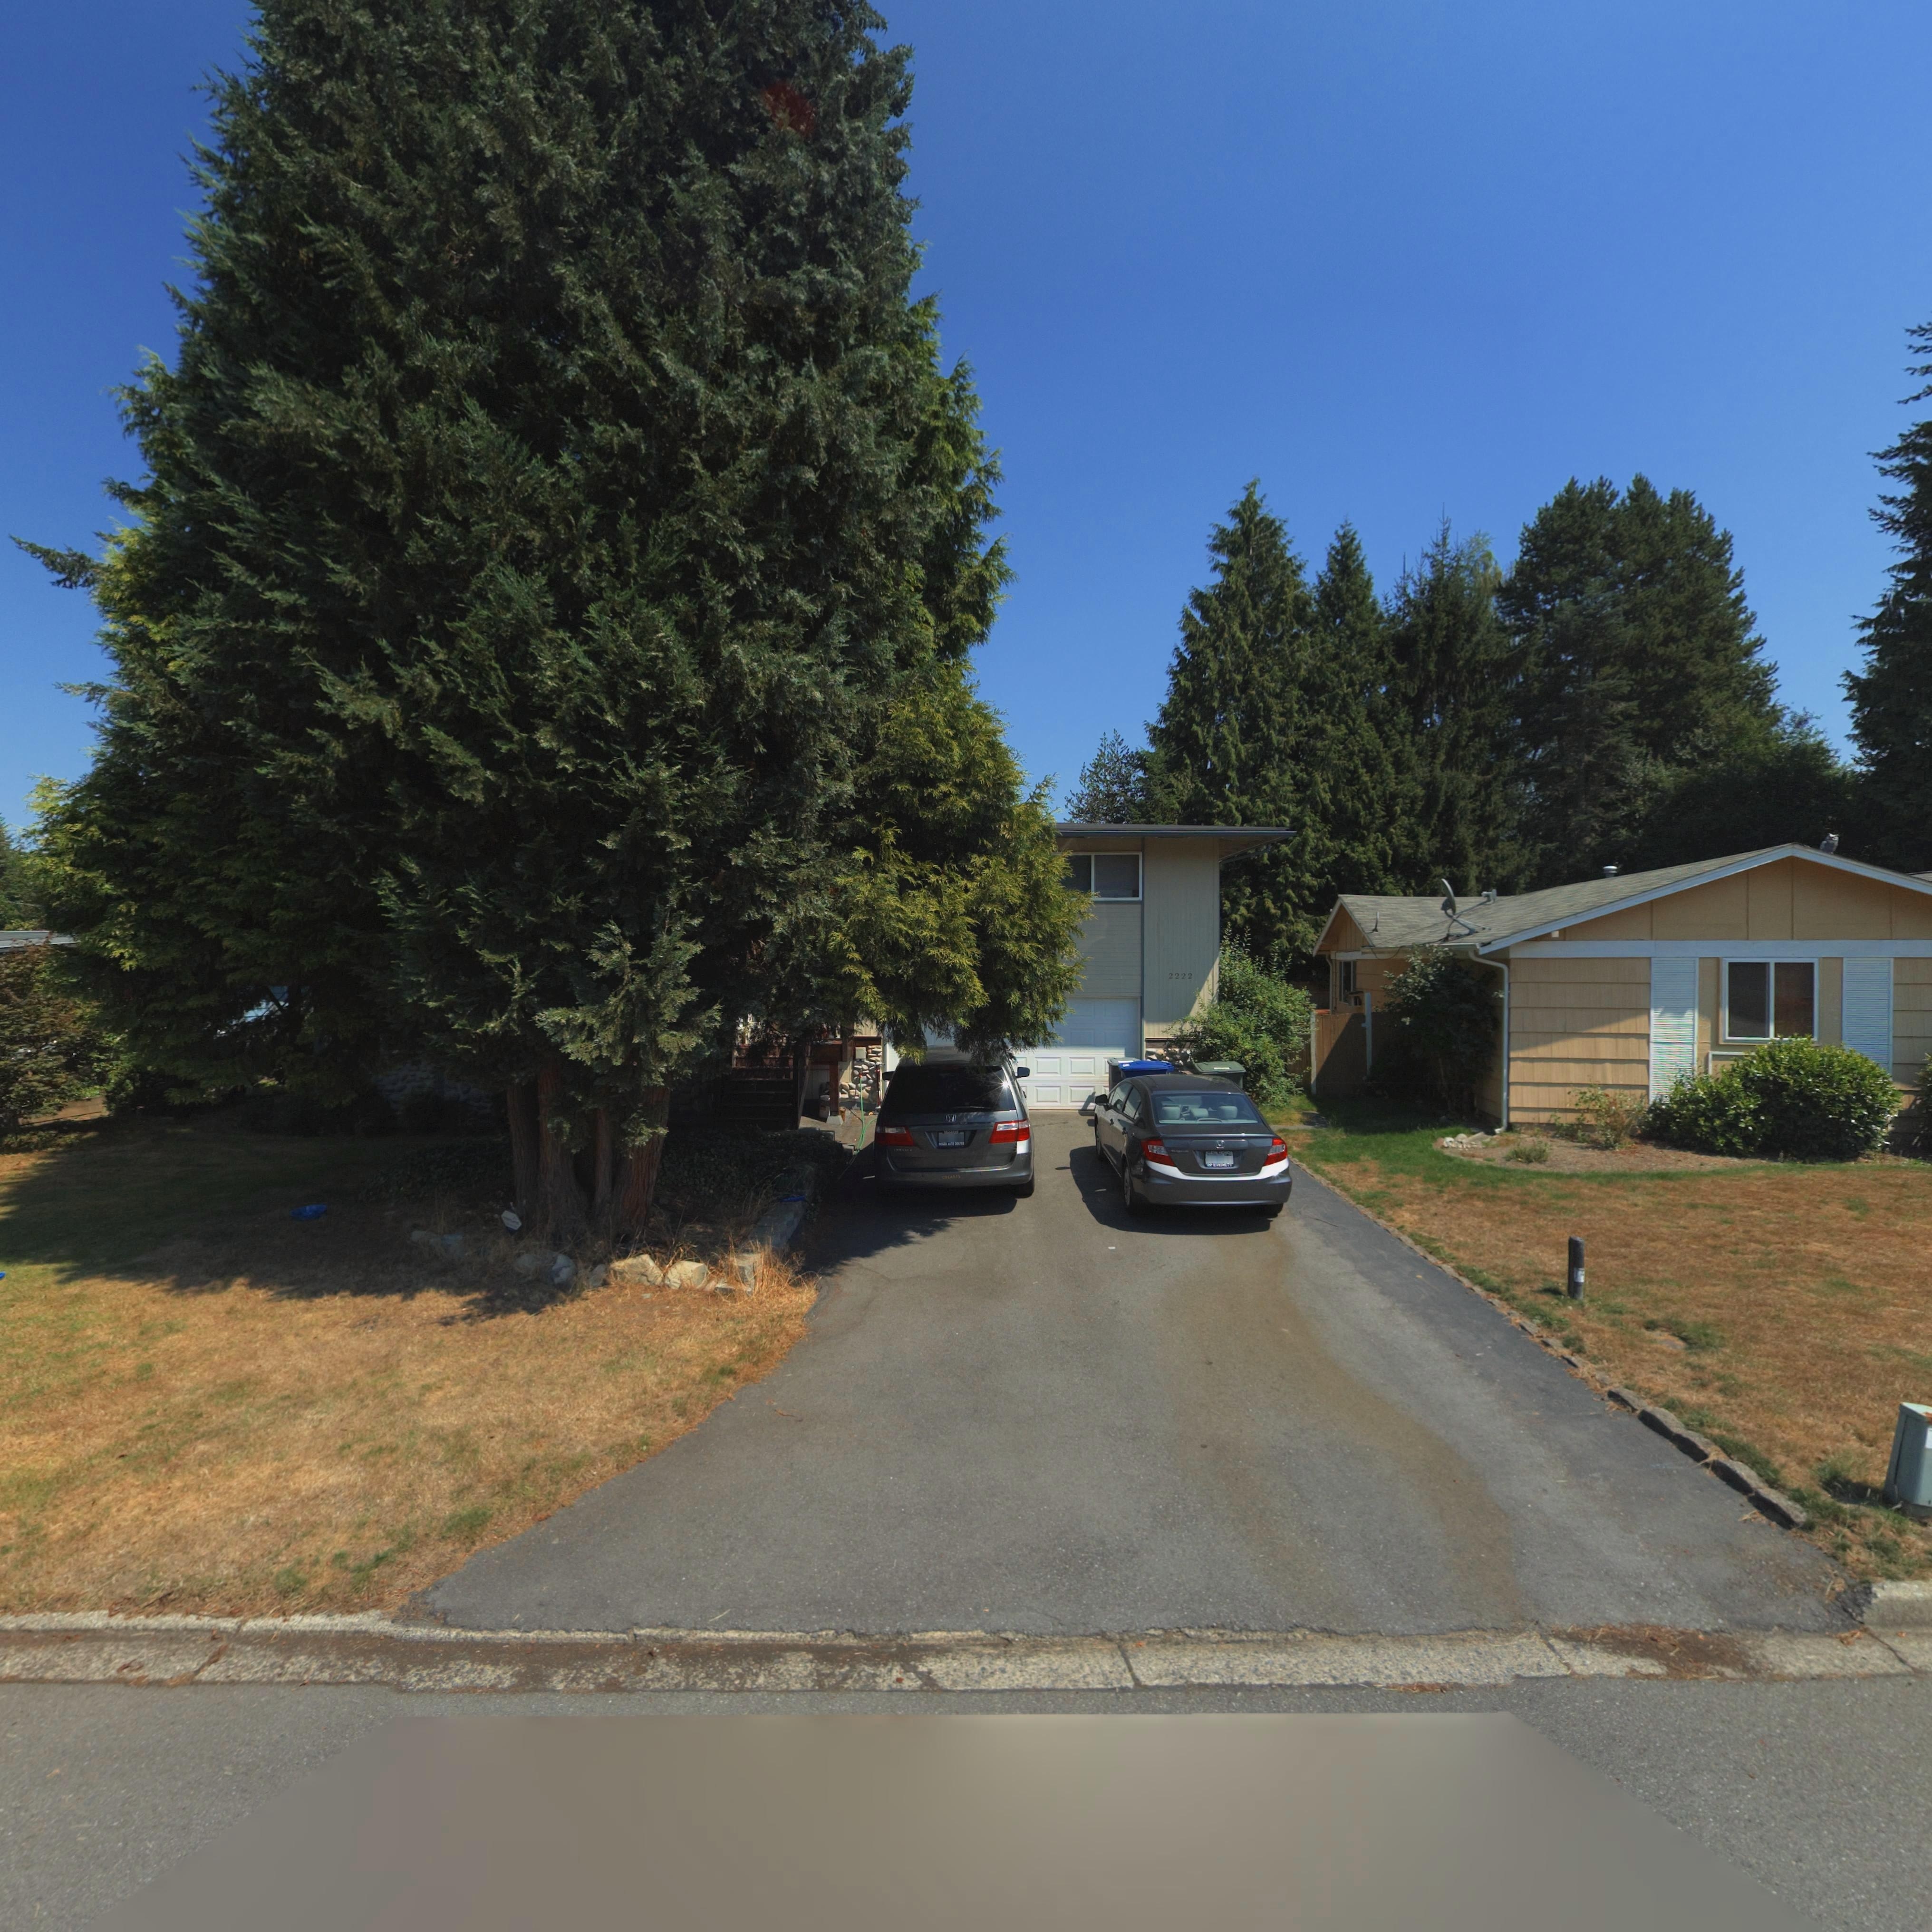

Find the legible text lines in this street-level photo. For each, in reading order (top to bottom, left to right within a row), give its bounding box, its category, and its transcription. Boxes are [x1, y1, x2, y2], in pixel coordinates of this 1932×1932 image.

[1168, 972, 1193, 978] StreetNumber: 2222